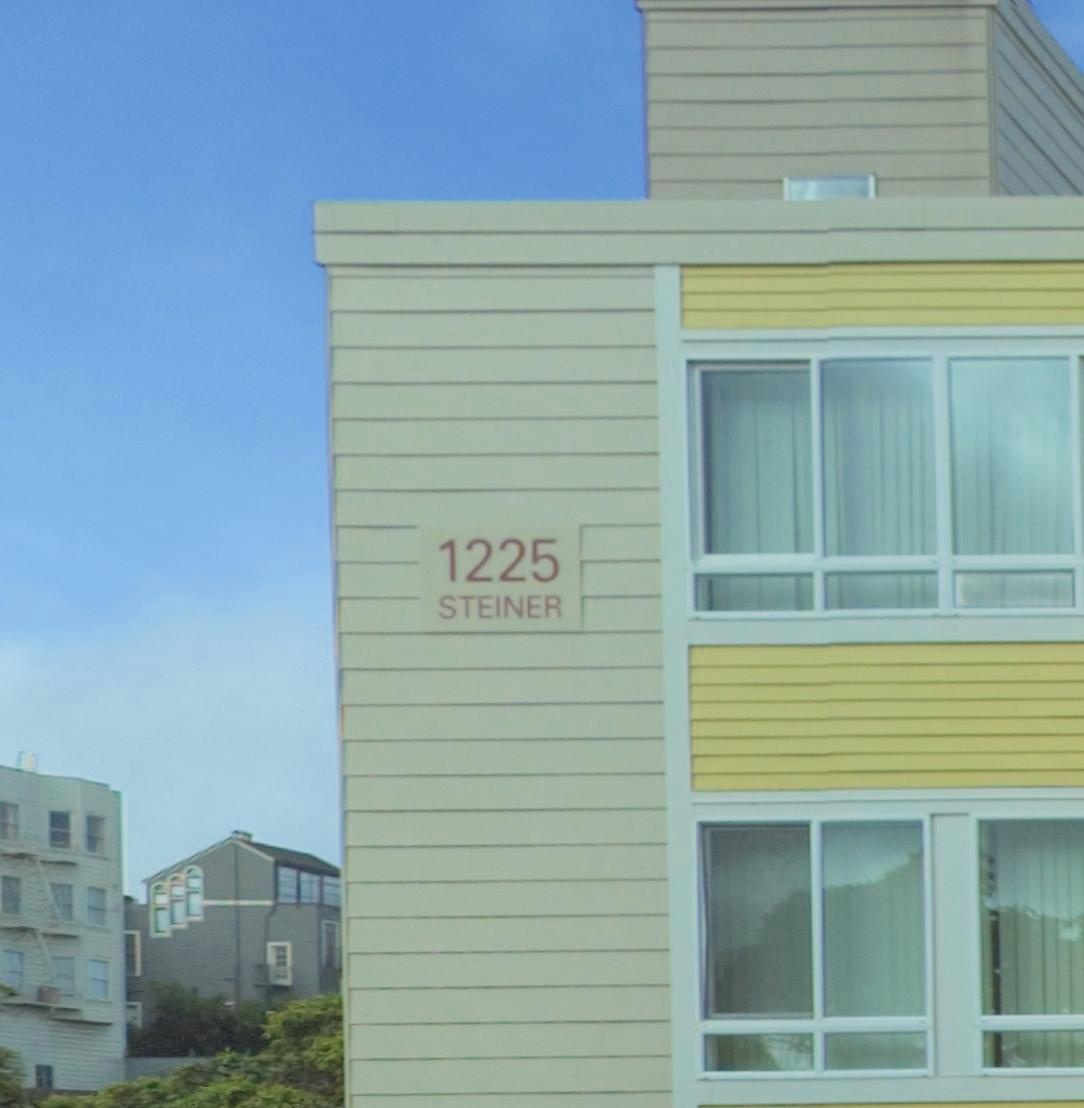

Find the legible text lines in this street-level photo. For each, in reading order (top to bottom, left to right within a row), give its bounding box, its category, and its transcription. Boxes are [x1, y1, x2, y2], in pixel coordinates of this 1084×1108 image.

[434, 533, 562, 587] StreetNumber: 1225
[434, 591, 566, 624] StreetName: STEINER